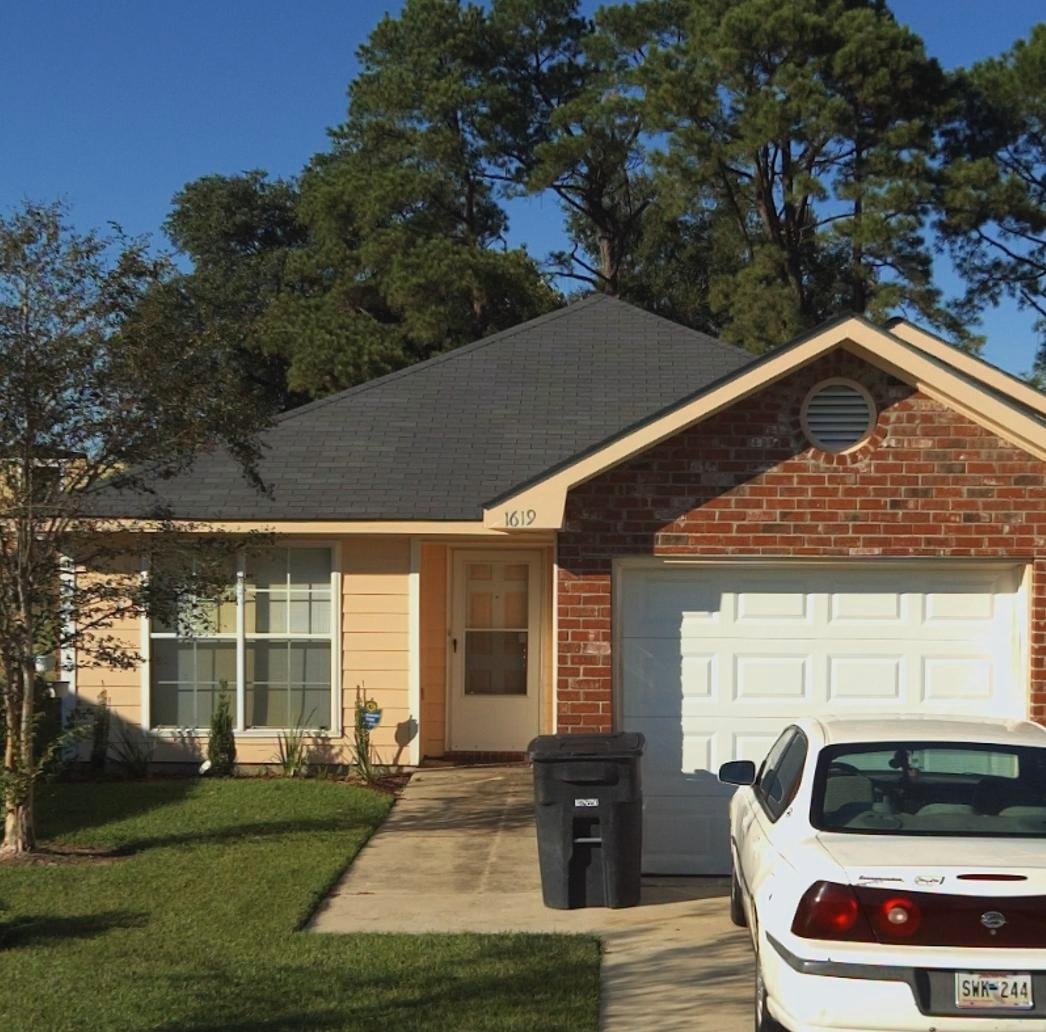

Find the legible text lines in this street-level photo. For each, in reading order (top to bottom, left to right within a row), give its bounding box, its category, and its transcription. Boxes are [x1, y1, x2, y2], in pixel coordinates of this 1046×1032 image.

[504, 508, 537, 527] StreetNumber: 1619
[961, 978, 1028, 1000] None: SWK*244